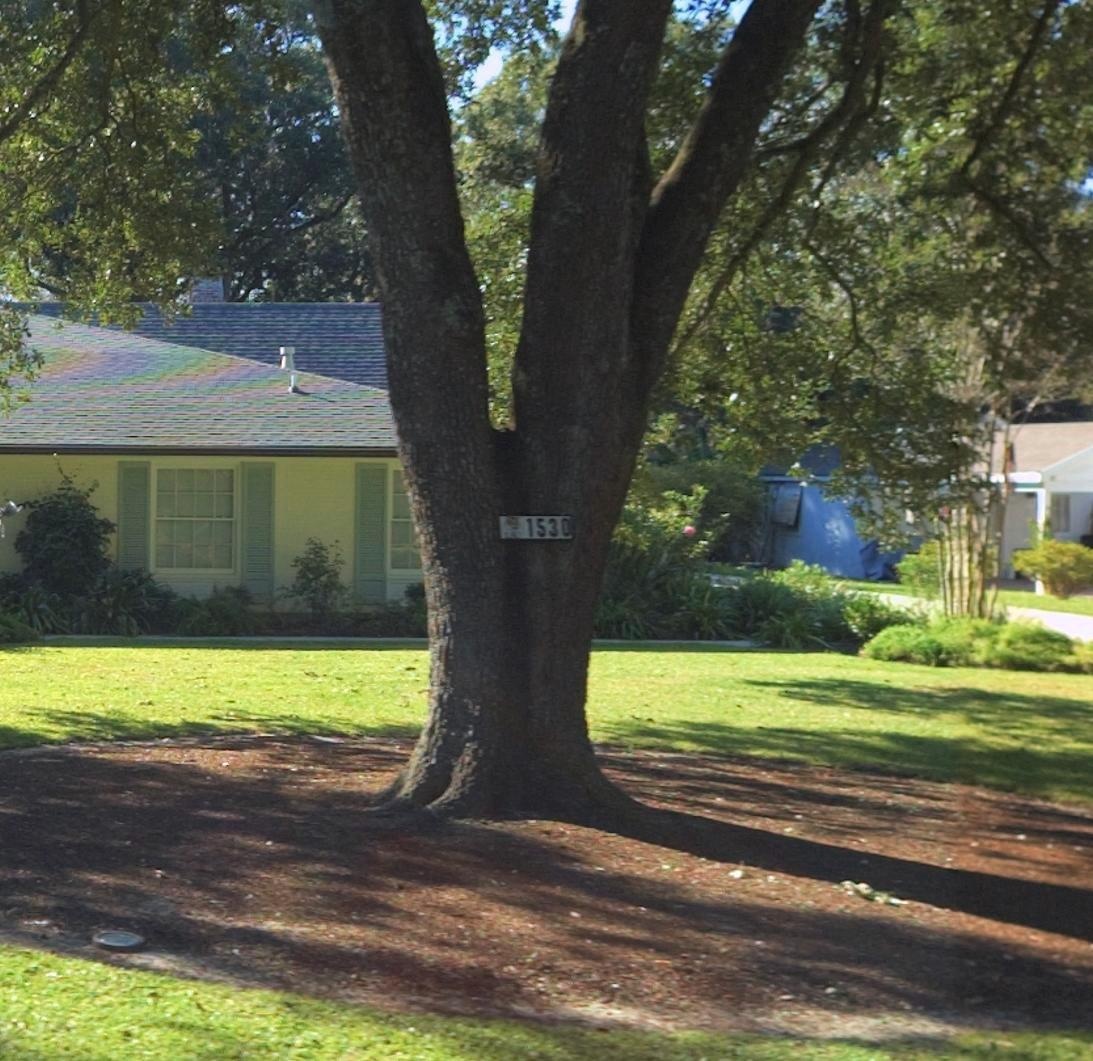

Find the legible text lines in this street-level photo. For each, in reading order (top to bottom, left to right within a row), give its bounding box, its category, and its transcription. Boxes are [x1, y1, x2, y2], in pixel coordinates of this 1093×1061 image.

[524, 515, 572, 539] StreetNumber: 1530